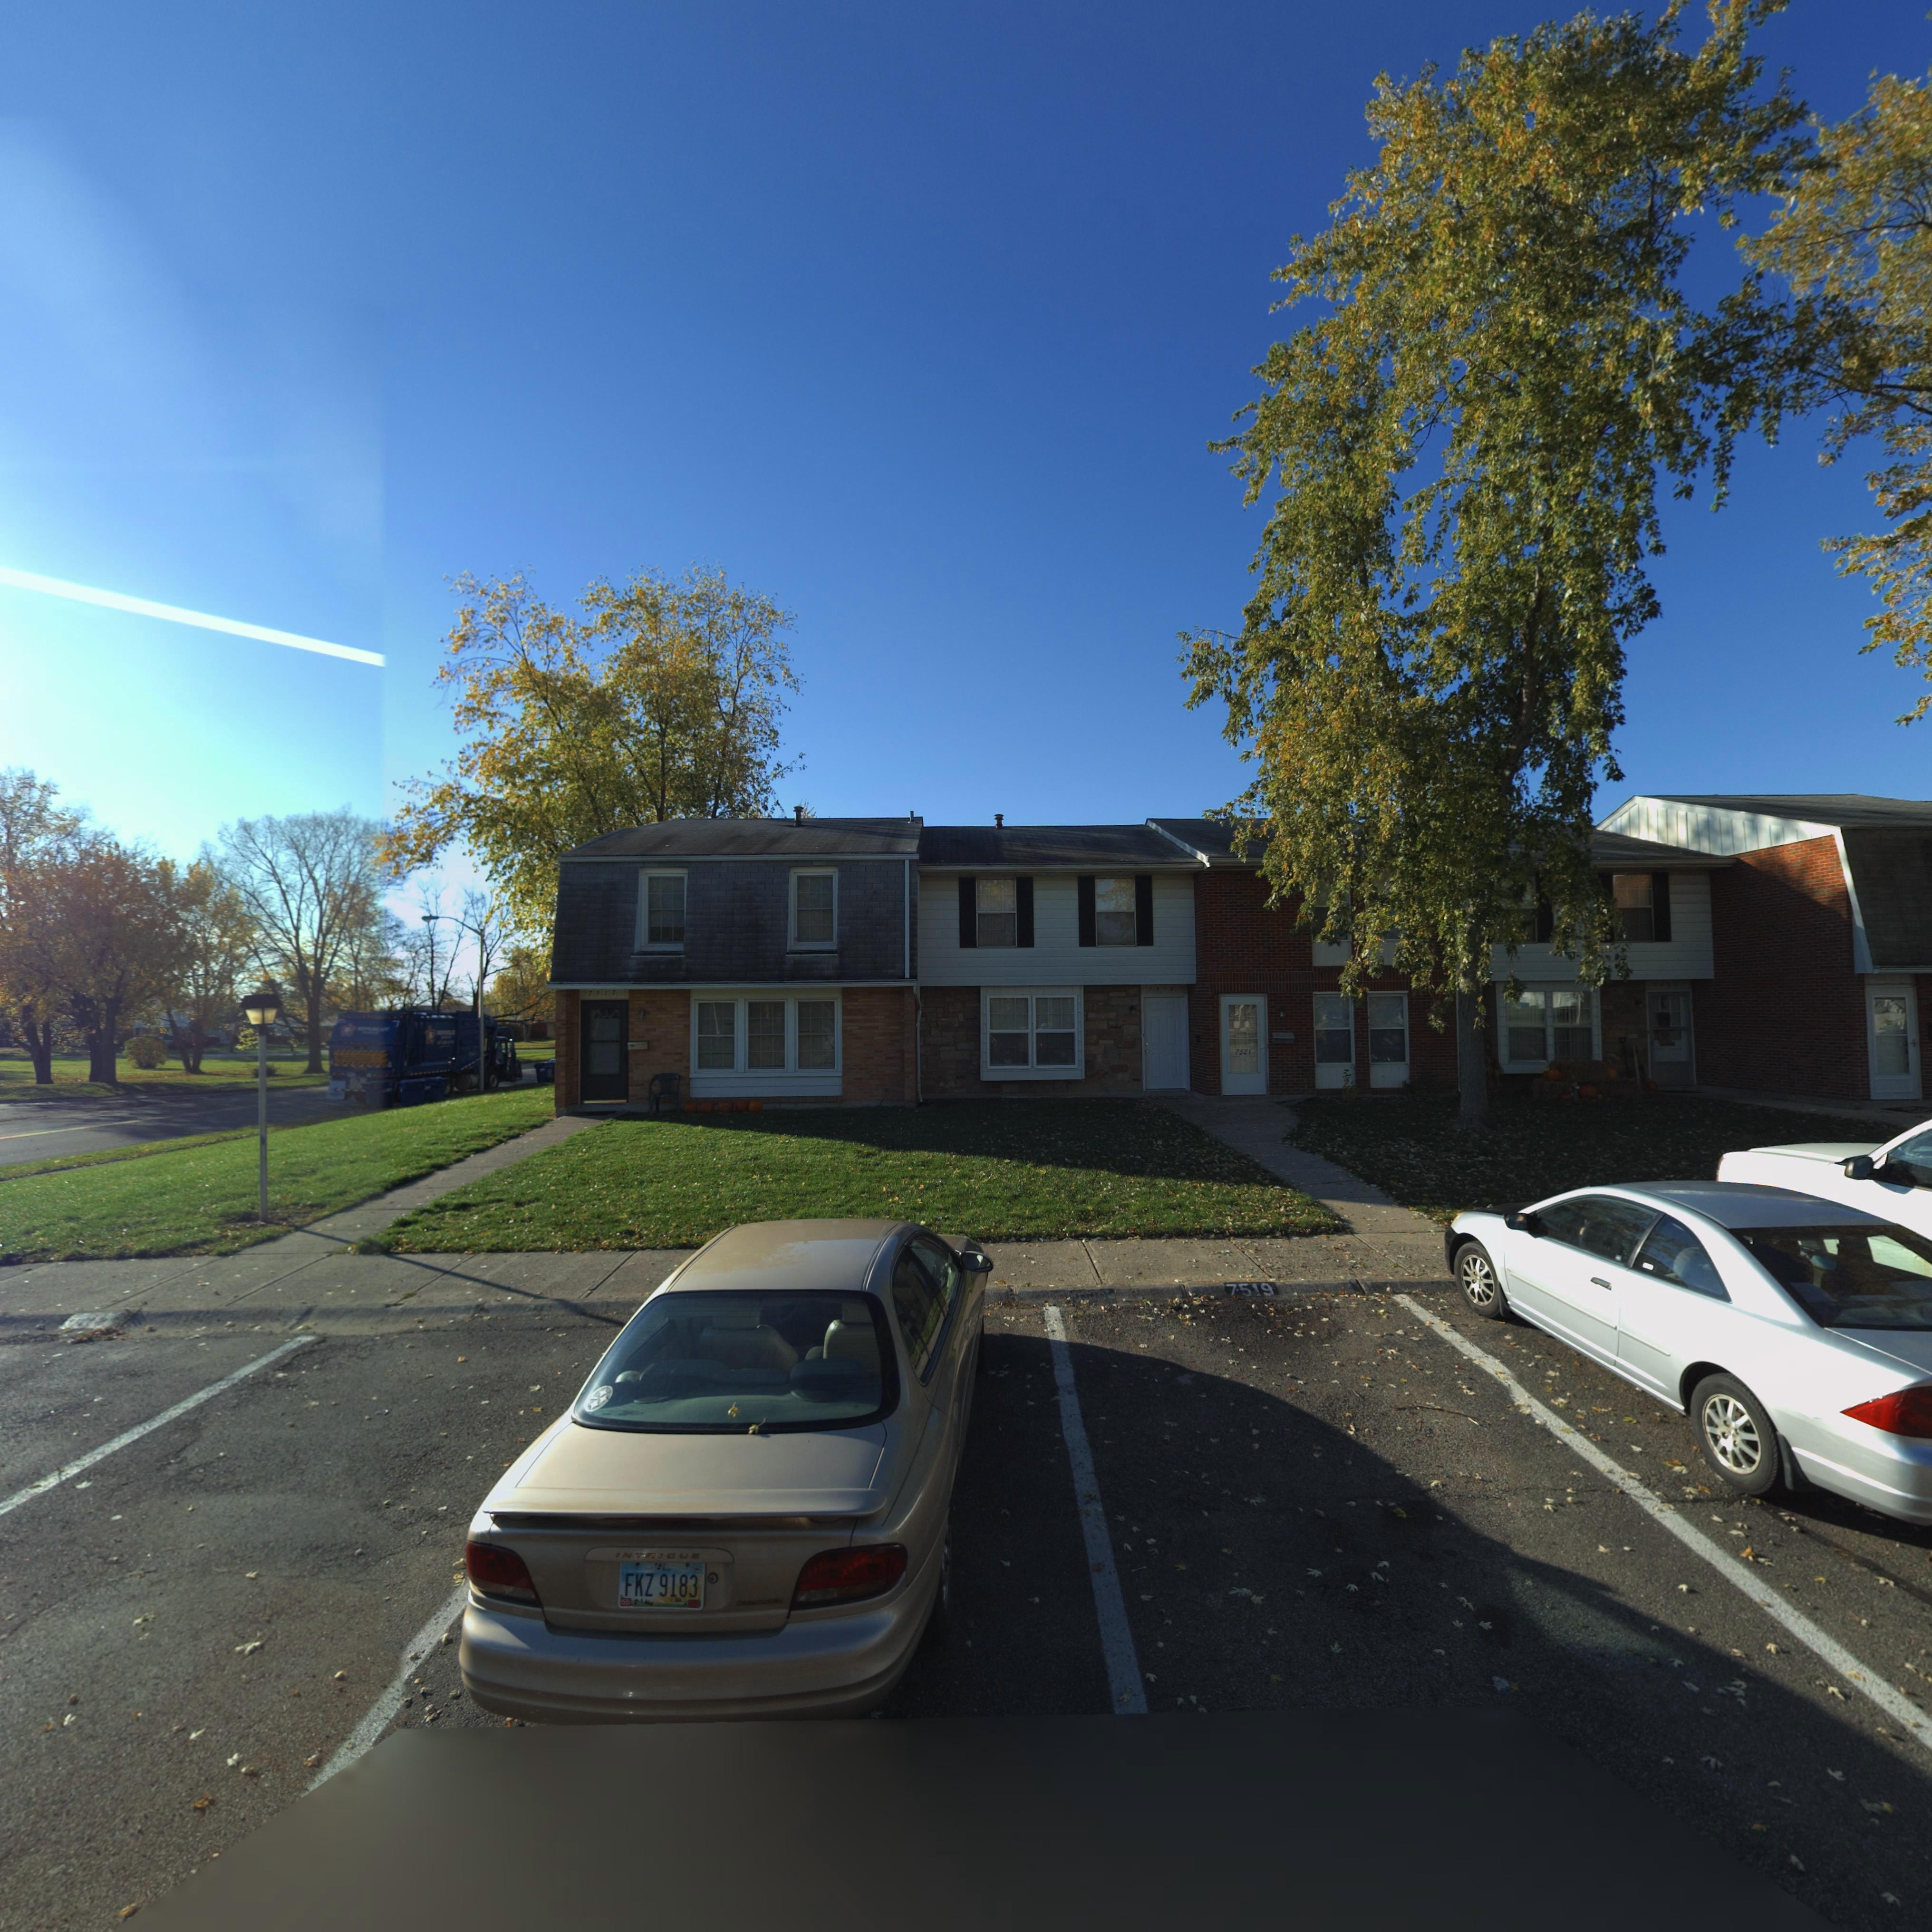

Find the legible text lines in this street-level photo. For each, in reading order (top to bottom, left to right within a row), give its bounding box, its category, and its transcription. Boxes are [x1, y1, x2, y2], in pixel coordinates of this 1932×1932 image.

[1651, 981, 1680, 988] StreetNumber: 7***
[588, 989, 616, 996] StreetNumber: 7517
[1234, 1048, 1252, 1055] StreetNumber: 7521
[1225, 1282, 1275, 1297] StreetNumber: 7519